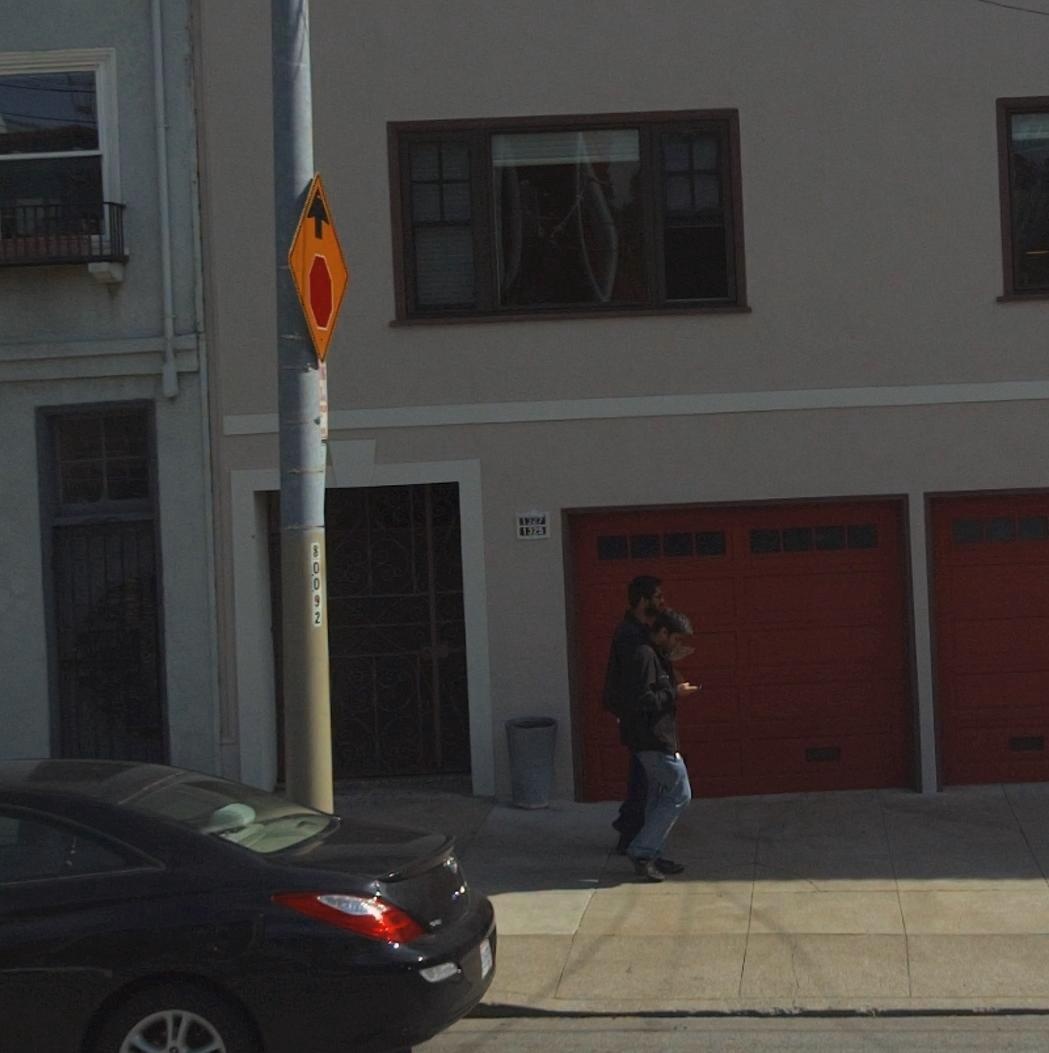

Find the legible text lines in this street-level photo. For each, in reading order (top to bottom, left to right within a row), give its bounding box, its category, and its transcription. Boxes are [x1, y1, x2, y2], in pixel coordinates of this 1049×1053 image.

[520, 516, 544, 526] StreetNumber: 1327
[522, 526, 544, 536] StreetNumber: 1325
[311, 543, 321, 625] None: 80092